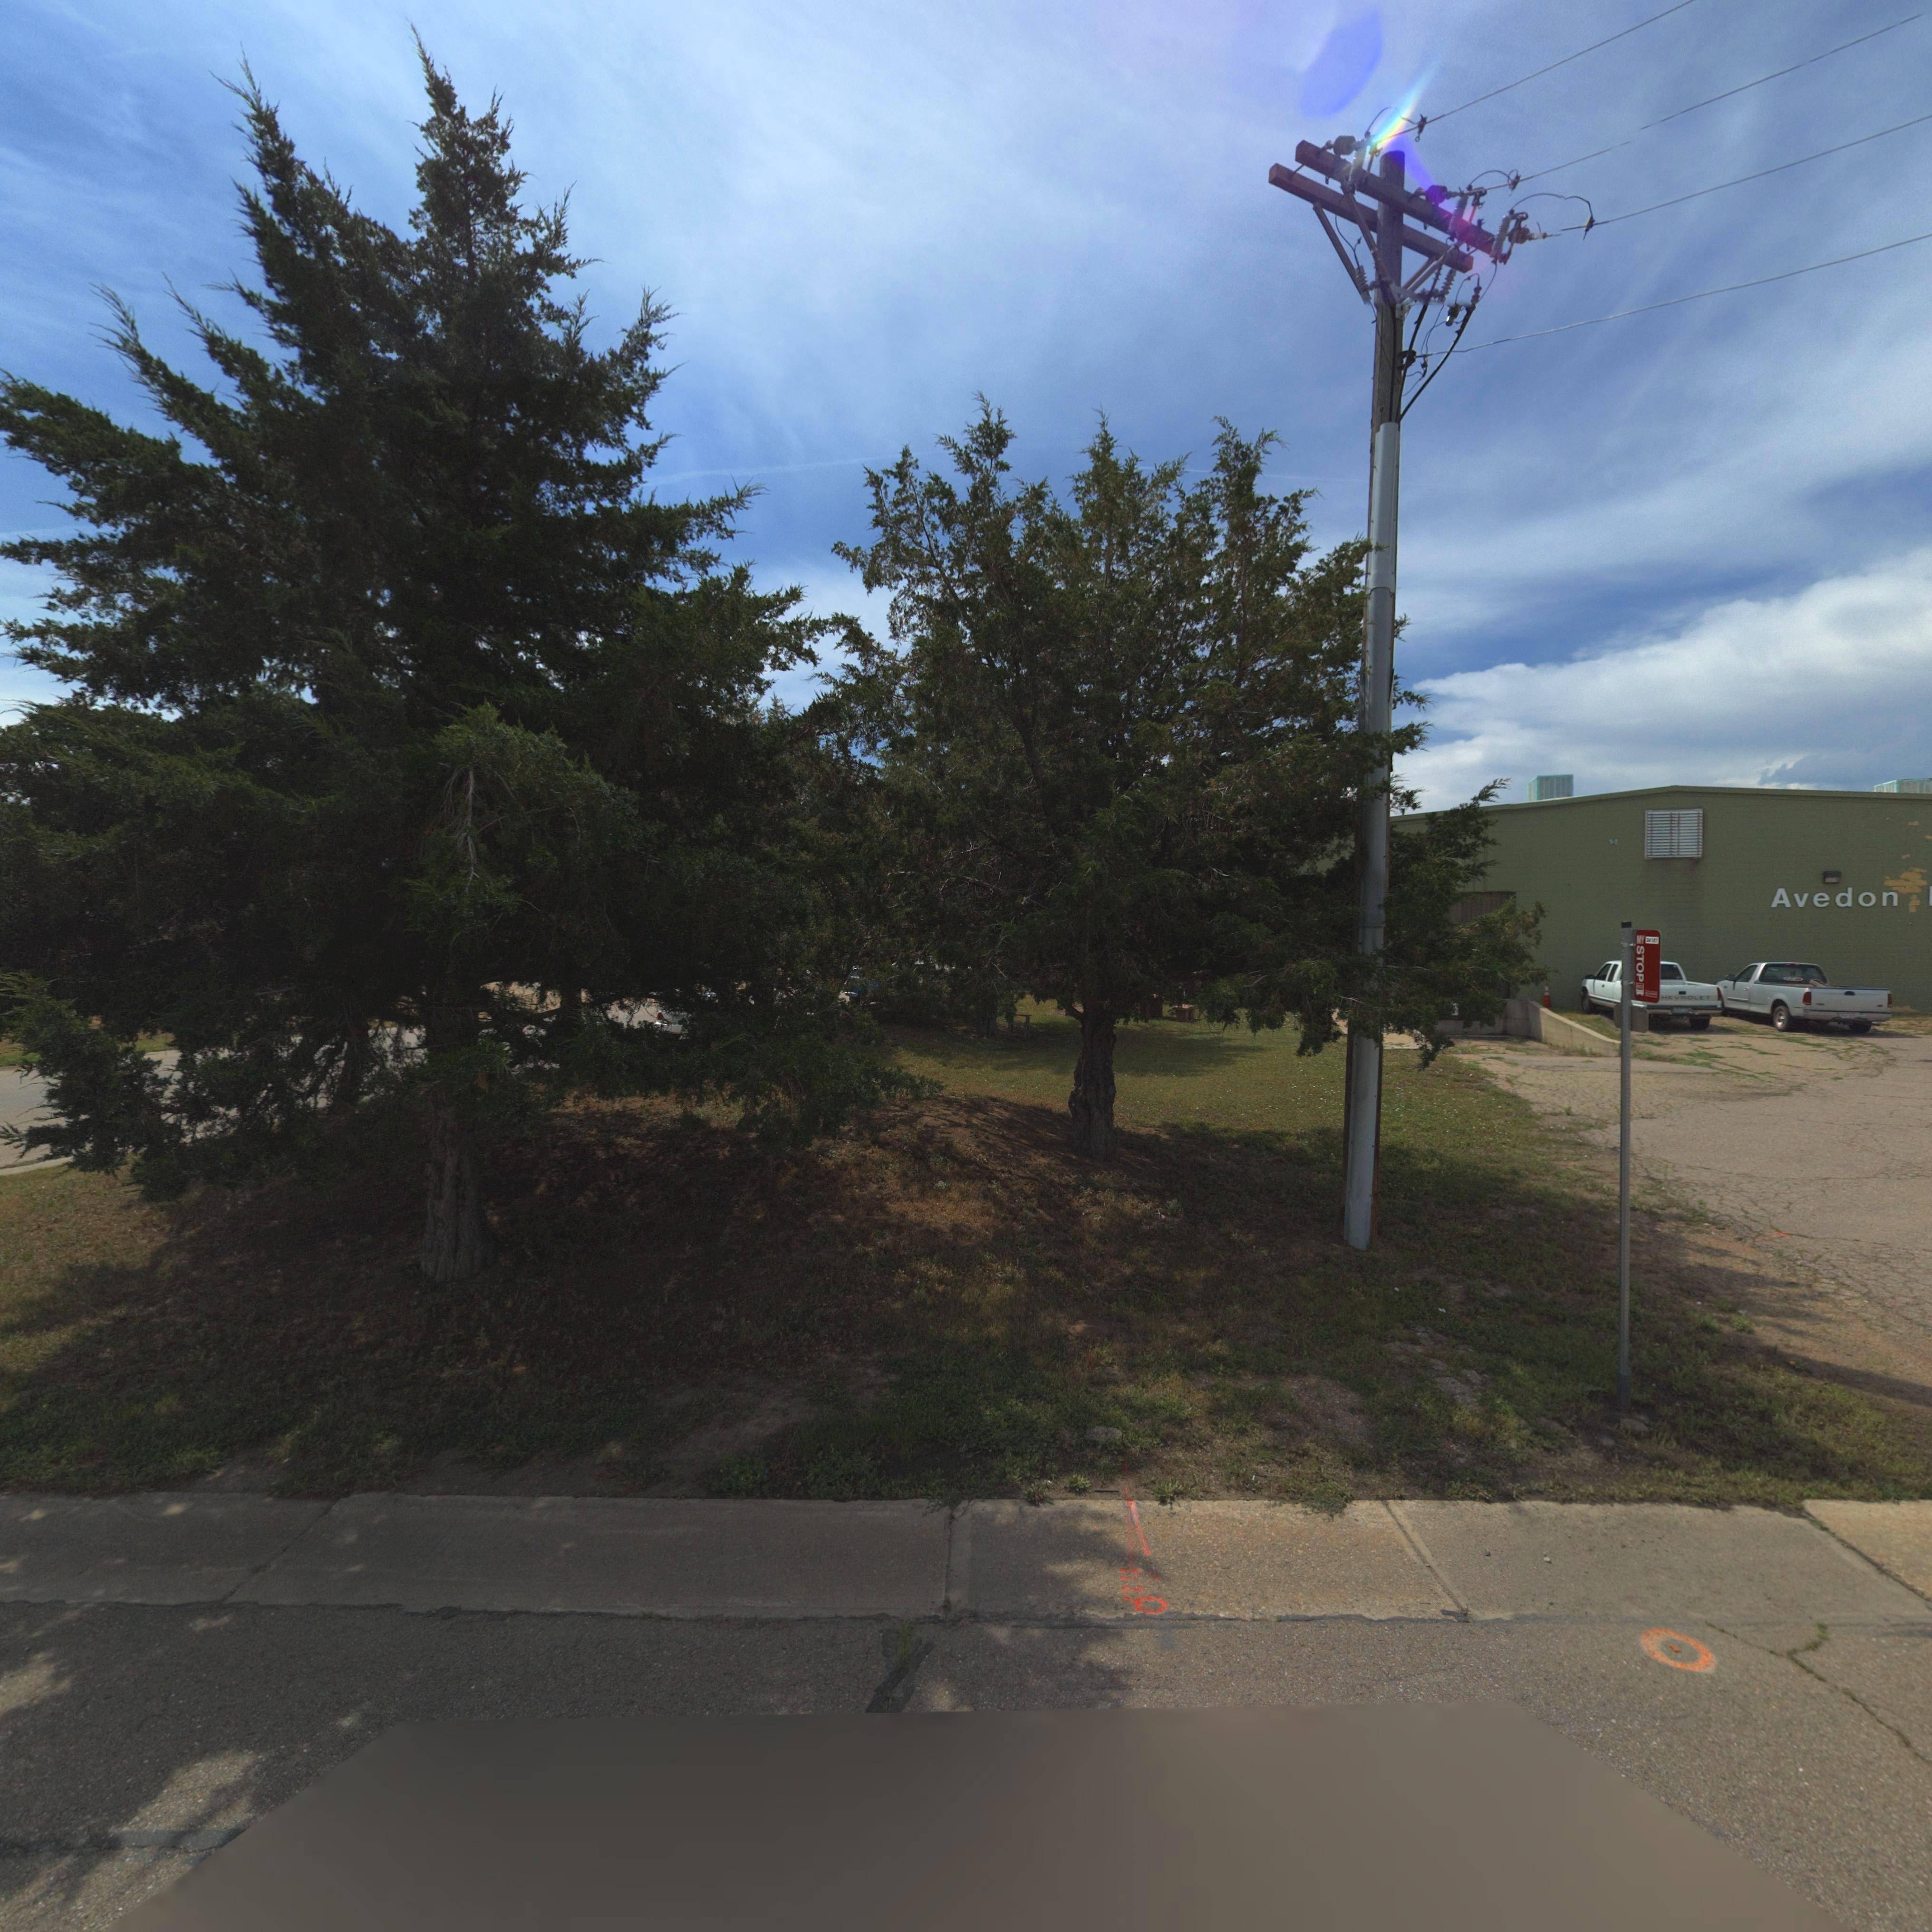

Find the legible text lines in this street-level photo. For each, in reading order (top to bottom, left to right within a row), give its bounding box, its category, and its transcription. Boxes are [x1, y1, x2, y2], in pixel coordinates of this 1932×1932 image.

[1771, 888, 1897, 907] BusinessName: Avedon